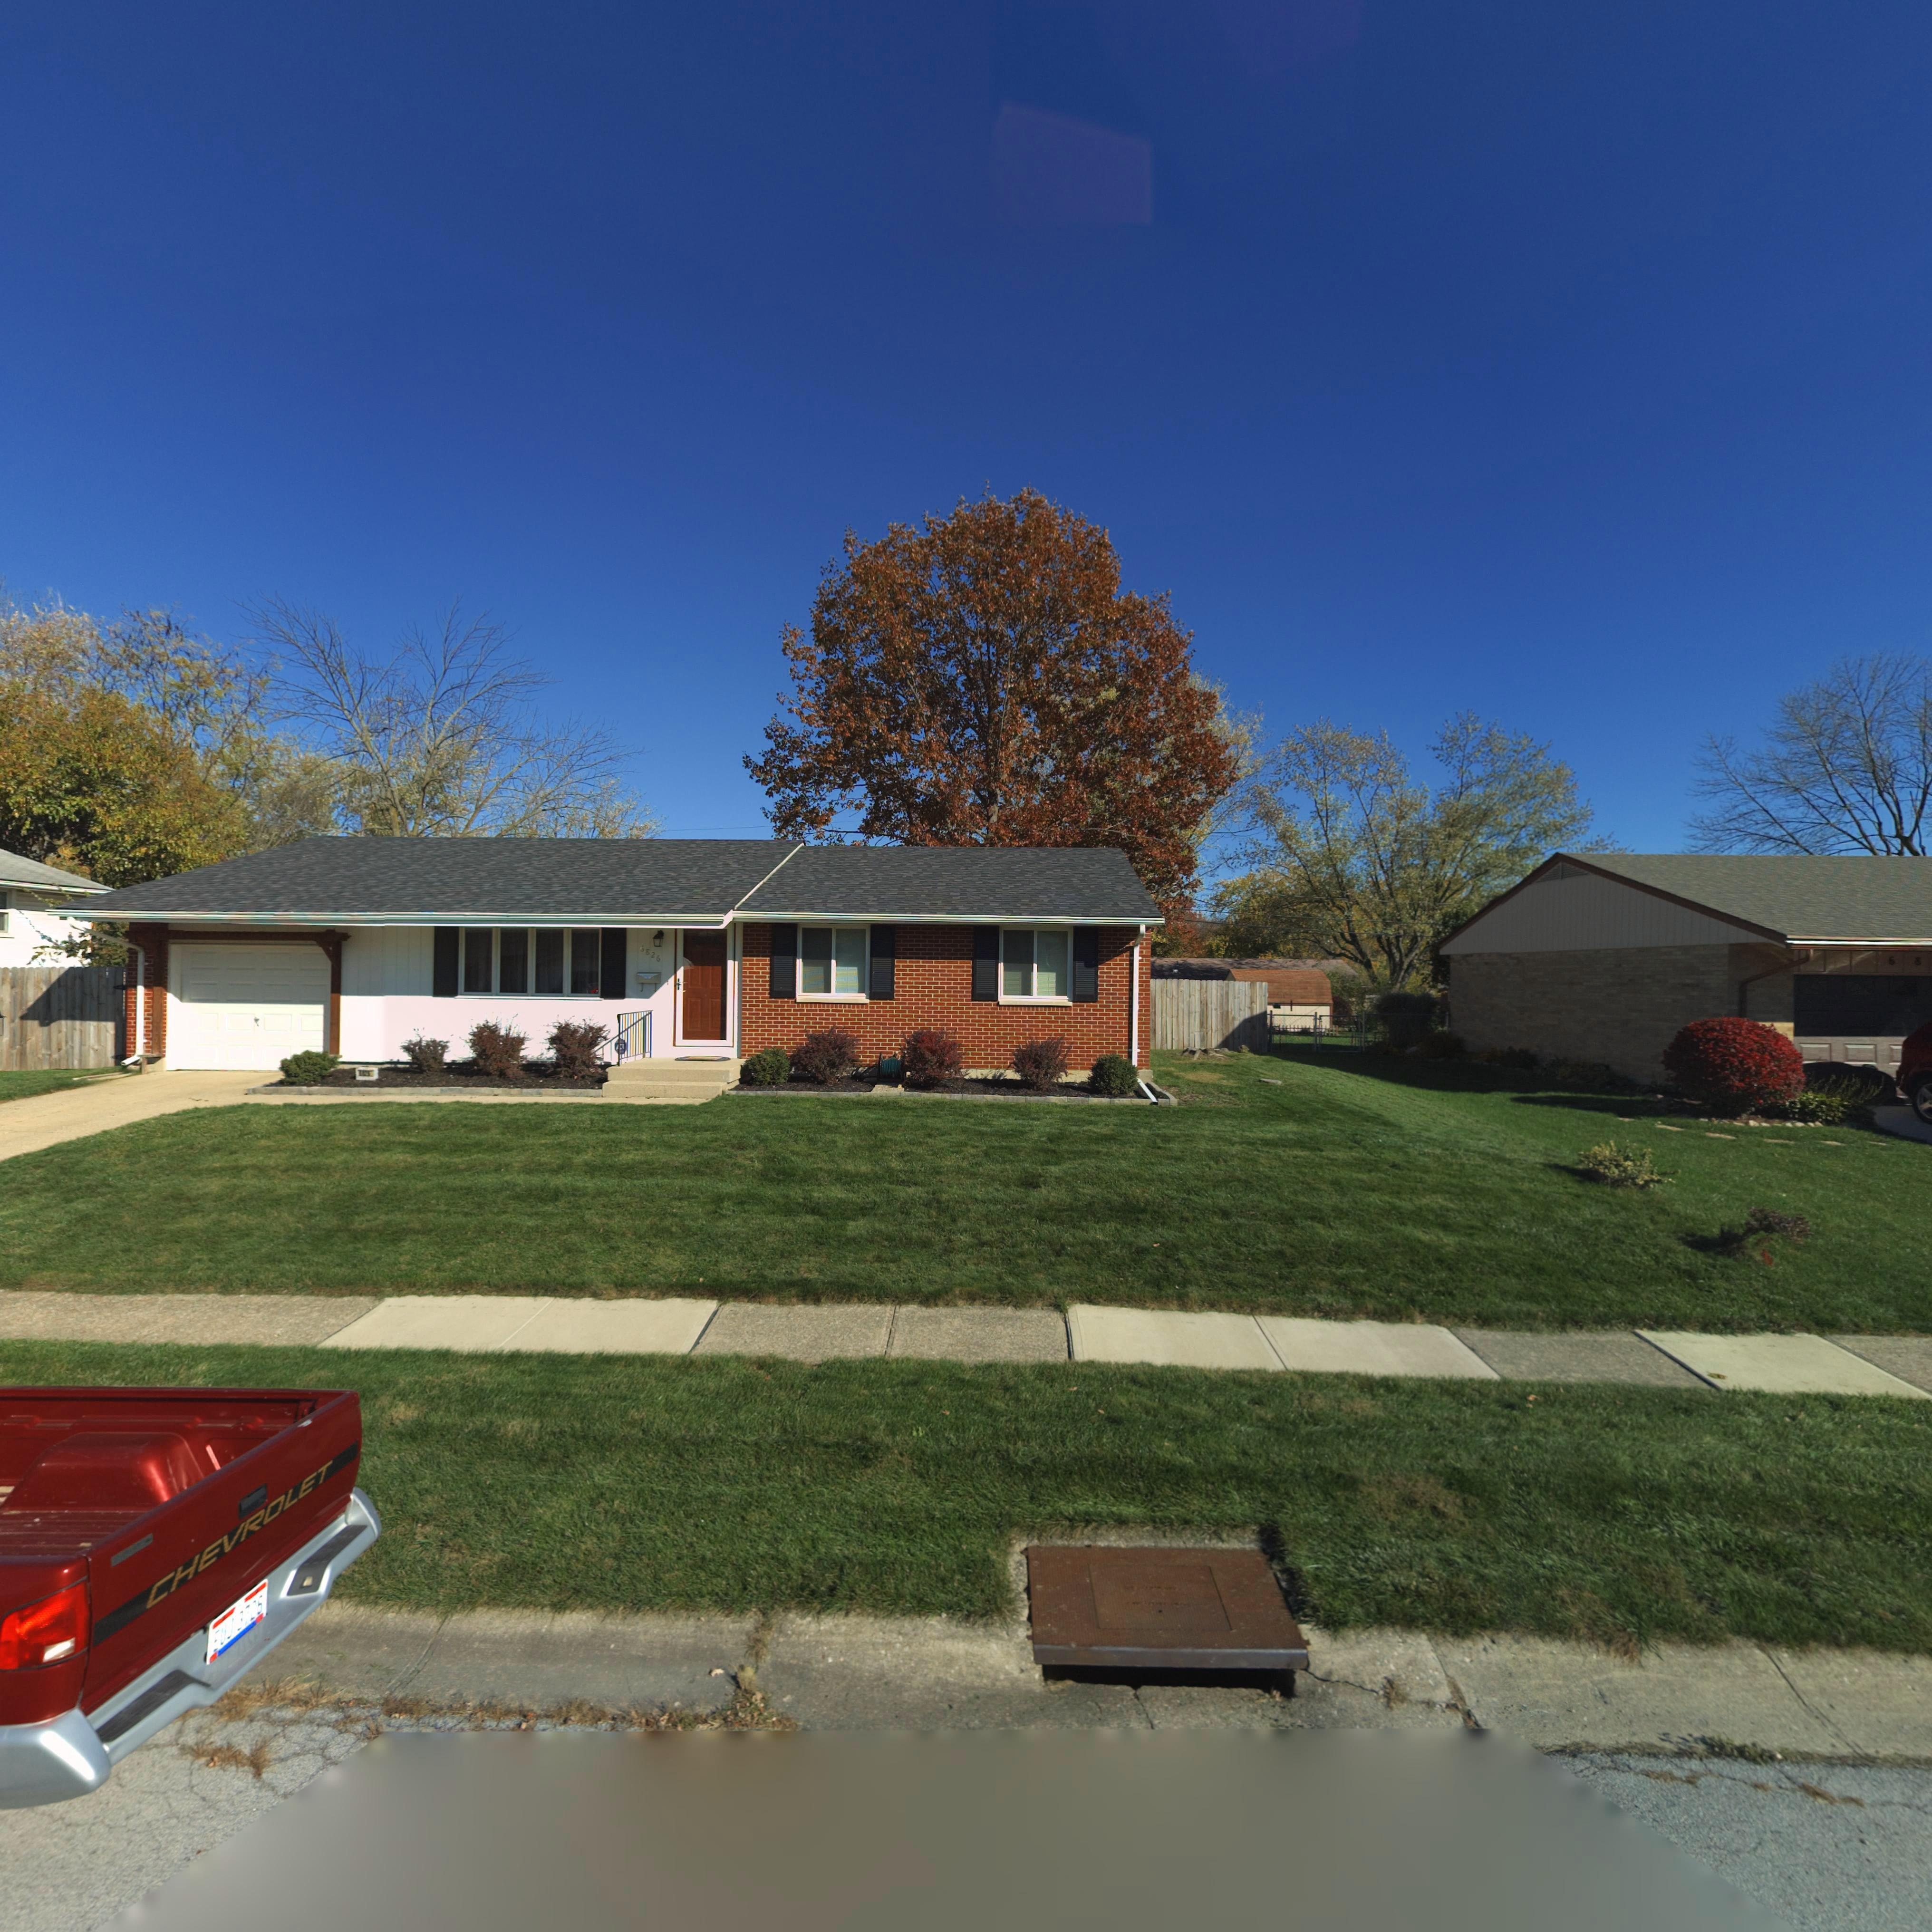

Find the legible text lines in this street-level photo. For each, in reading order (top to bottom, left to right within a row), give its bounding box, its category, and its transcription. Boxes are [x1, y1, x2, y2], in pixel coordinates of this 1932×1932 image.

[638, 945, 661, 963] StreetNumber: 6826
[1888, 956, 1922, 966] StreetNumber: 68
[358, 1070, 371, 1077] StreetNumber: 6*2*
[143, 1455, 336, 1614] None: CHEVROLET
[211, 1591, 264, 1656] None: EU**3726